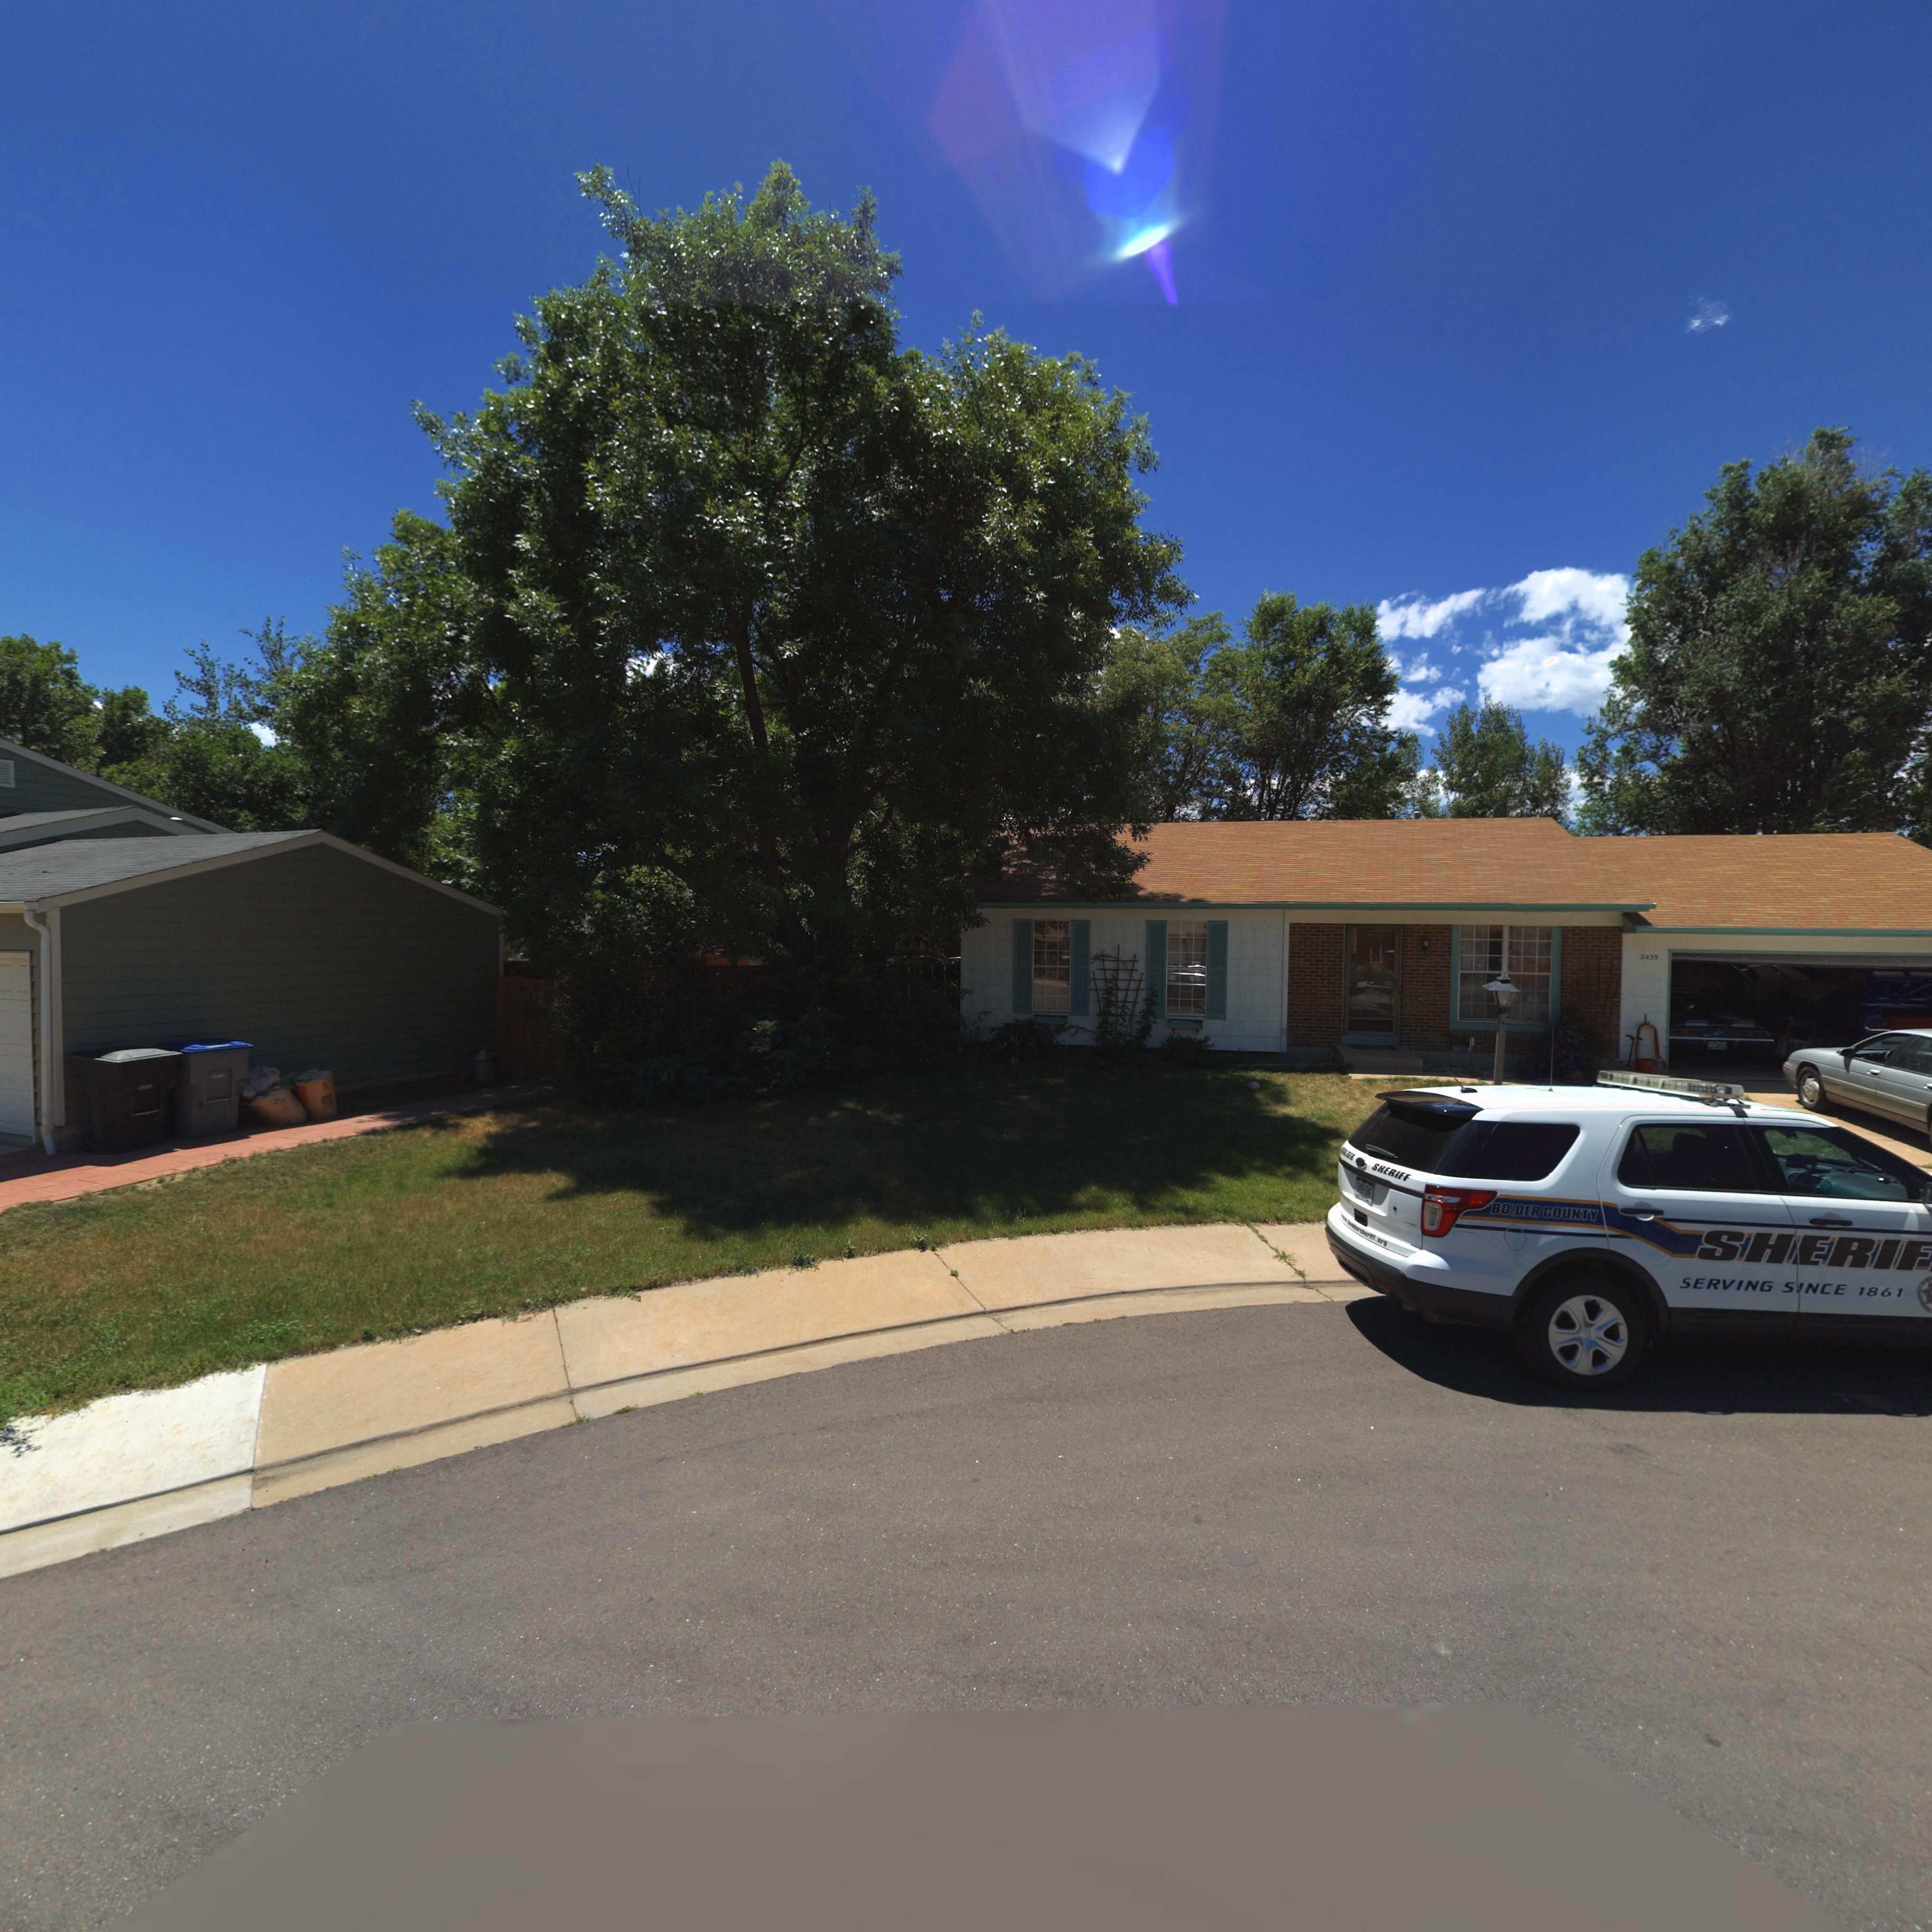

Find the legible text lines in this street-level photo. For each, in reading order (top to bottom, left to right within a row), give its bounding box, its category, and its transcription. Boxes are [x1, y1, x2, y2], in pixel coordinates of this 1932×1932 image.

[1640, 954, 1659, 960] StreetNumber: 2439